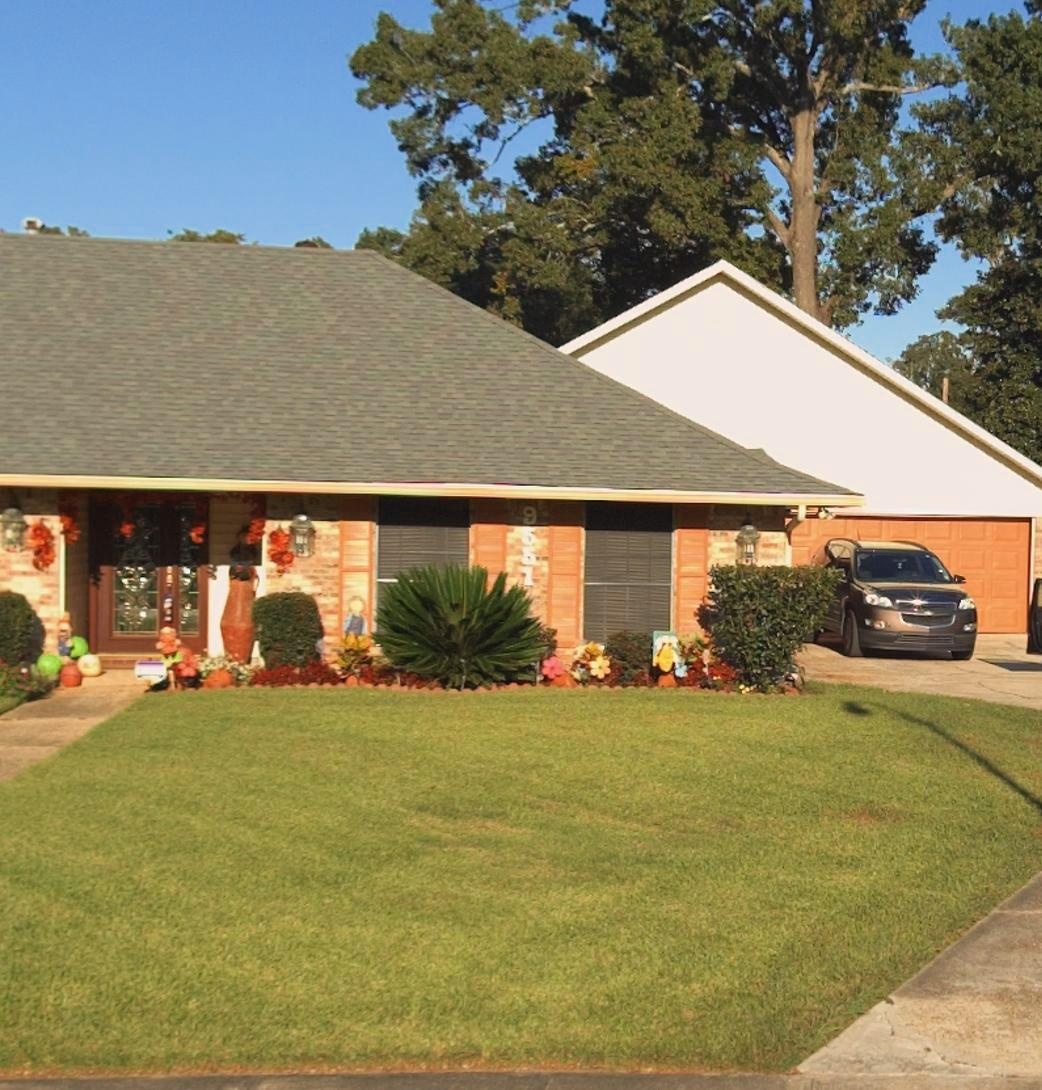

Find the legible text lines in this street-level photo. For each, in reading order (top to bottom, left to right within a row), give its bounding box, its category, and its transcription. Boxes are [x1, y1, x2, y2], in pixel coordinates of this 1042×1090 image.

[518, 505, 539, 587] StreetNumber: 9557